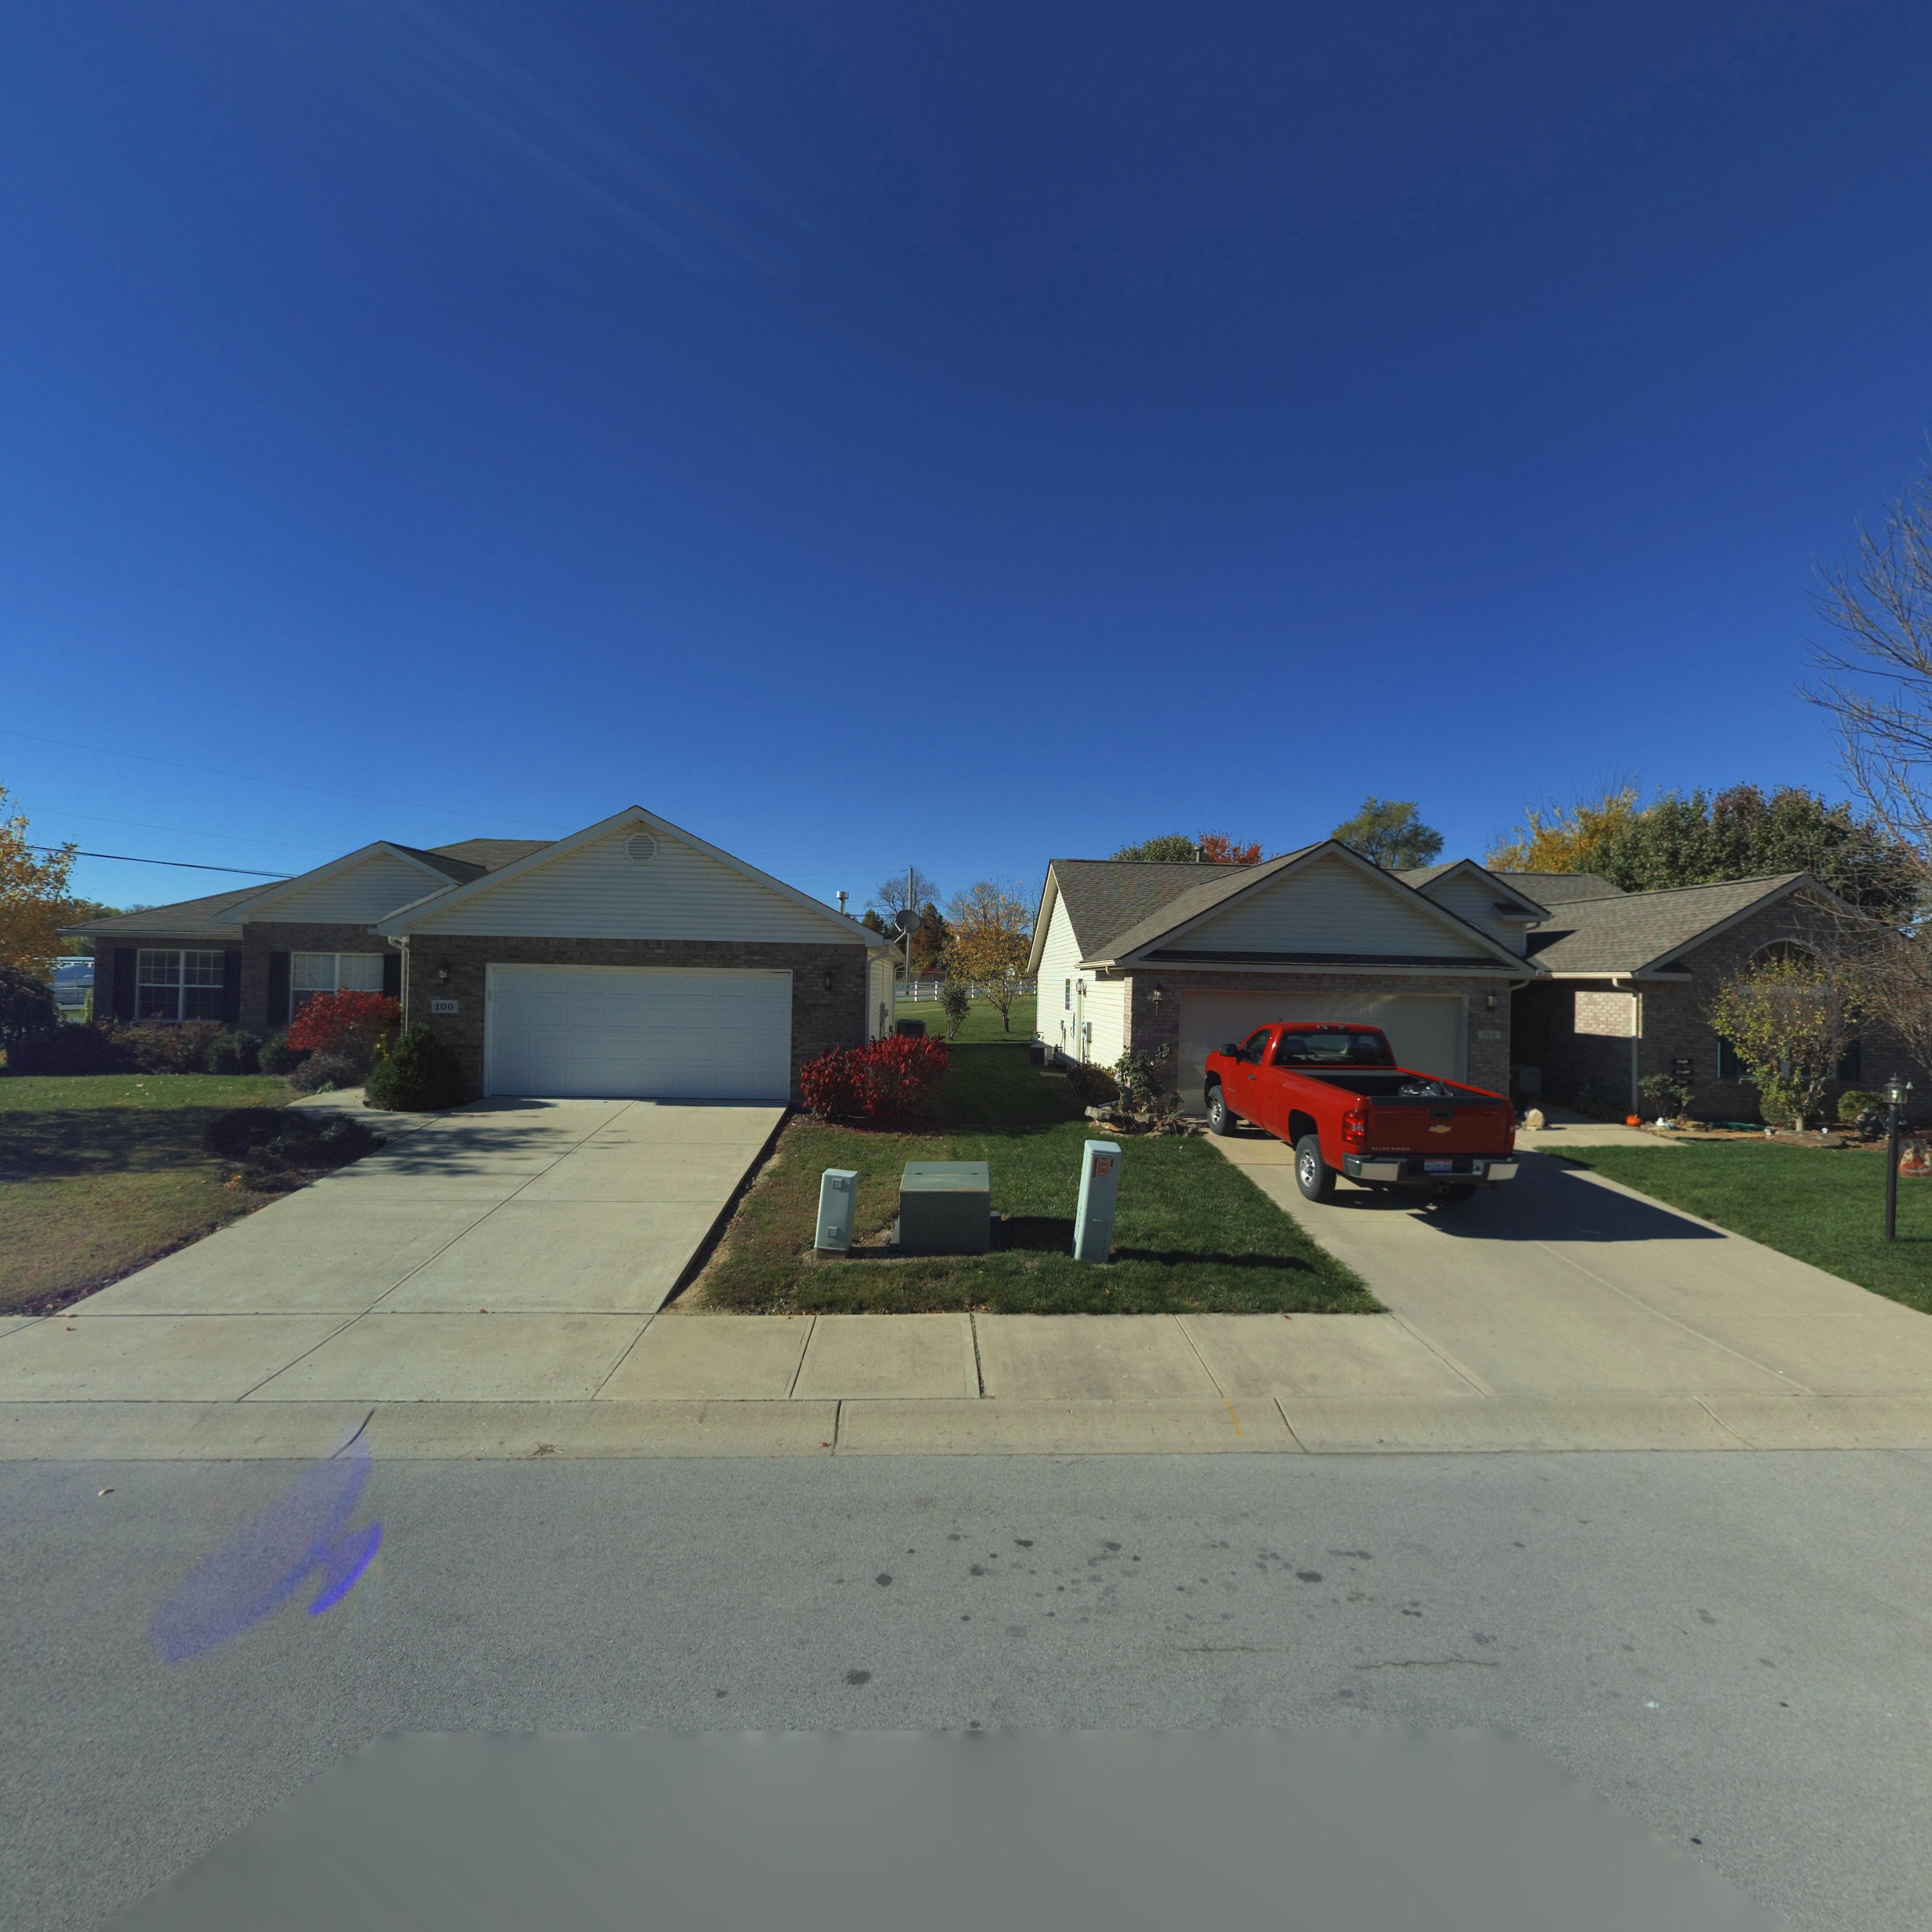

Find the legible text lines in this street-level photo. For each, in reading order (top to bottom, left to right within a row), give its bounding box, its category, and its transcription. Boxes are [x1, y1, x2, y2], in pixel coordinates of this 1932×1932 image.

[435, 1002, 454, 1011] StreetNumber: 100
[1482, 1030, 1497, 1039] StreetNumber: 102